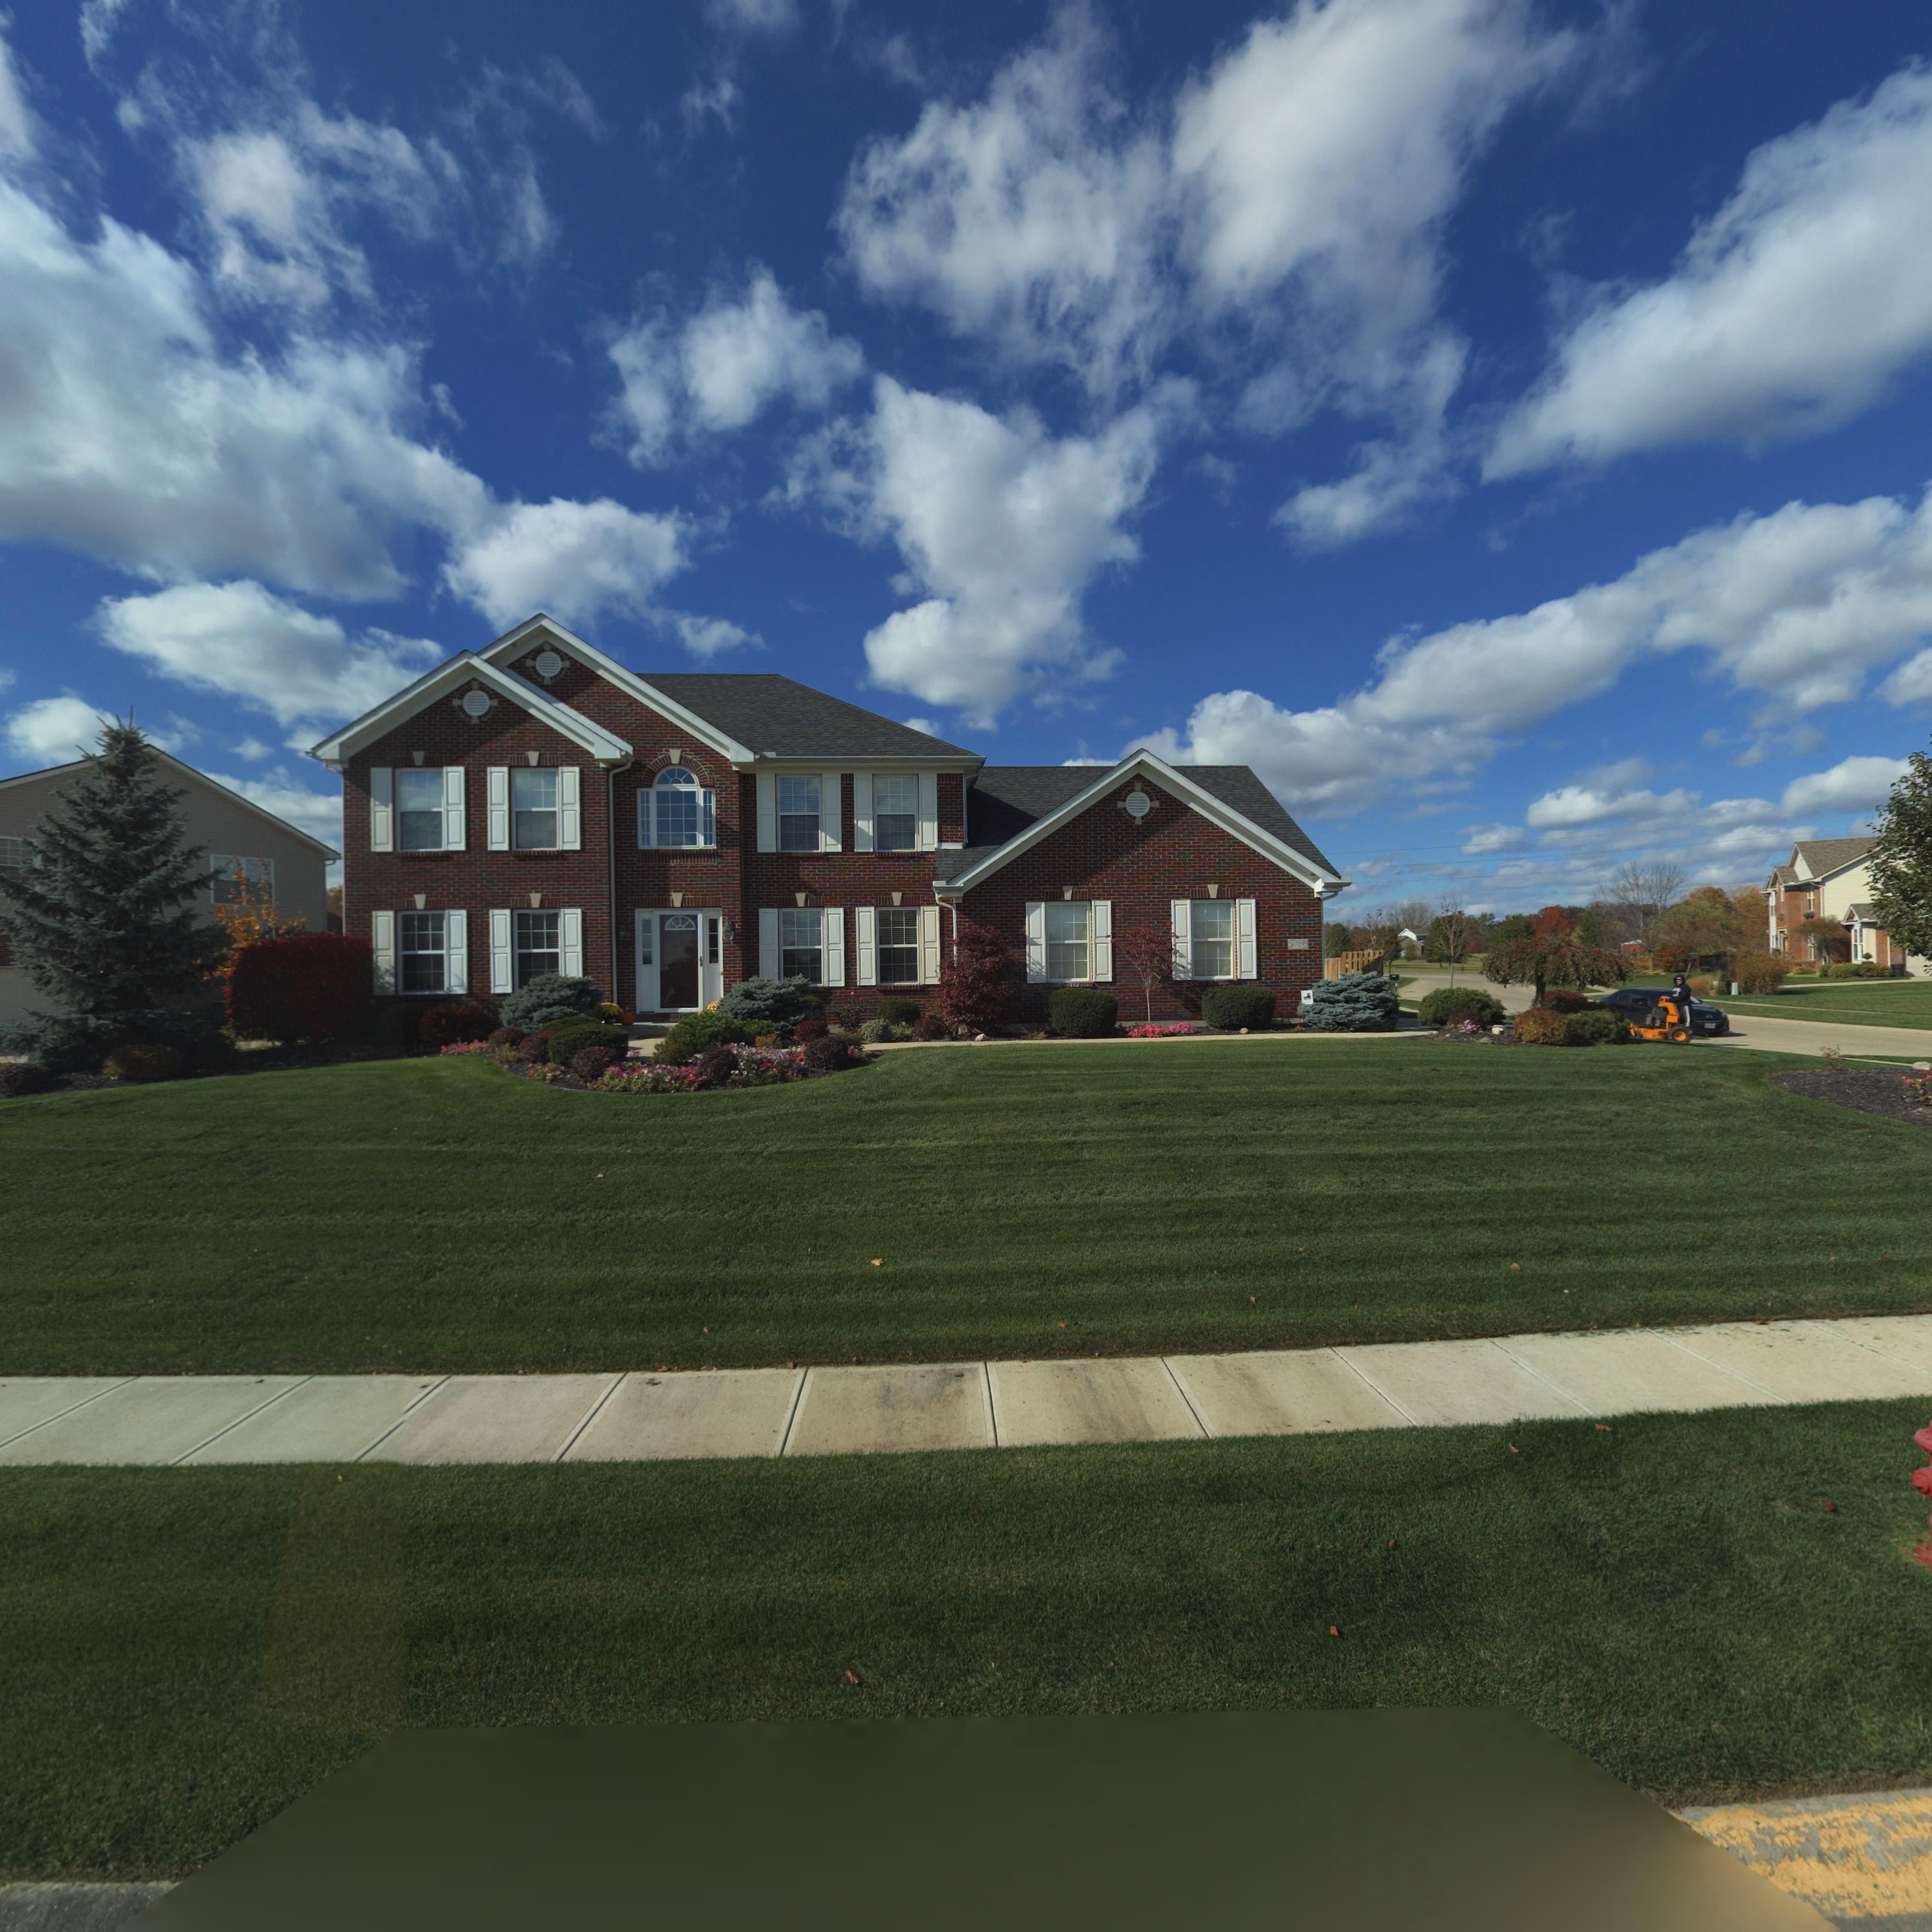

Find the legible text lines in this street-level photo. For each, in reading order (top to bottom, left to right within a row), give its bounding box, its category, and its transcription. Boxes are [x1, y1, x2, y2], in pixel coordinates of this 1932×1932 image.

[1290, 941, 1305, 947] StreetNumber: 6729